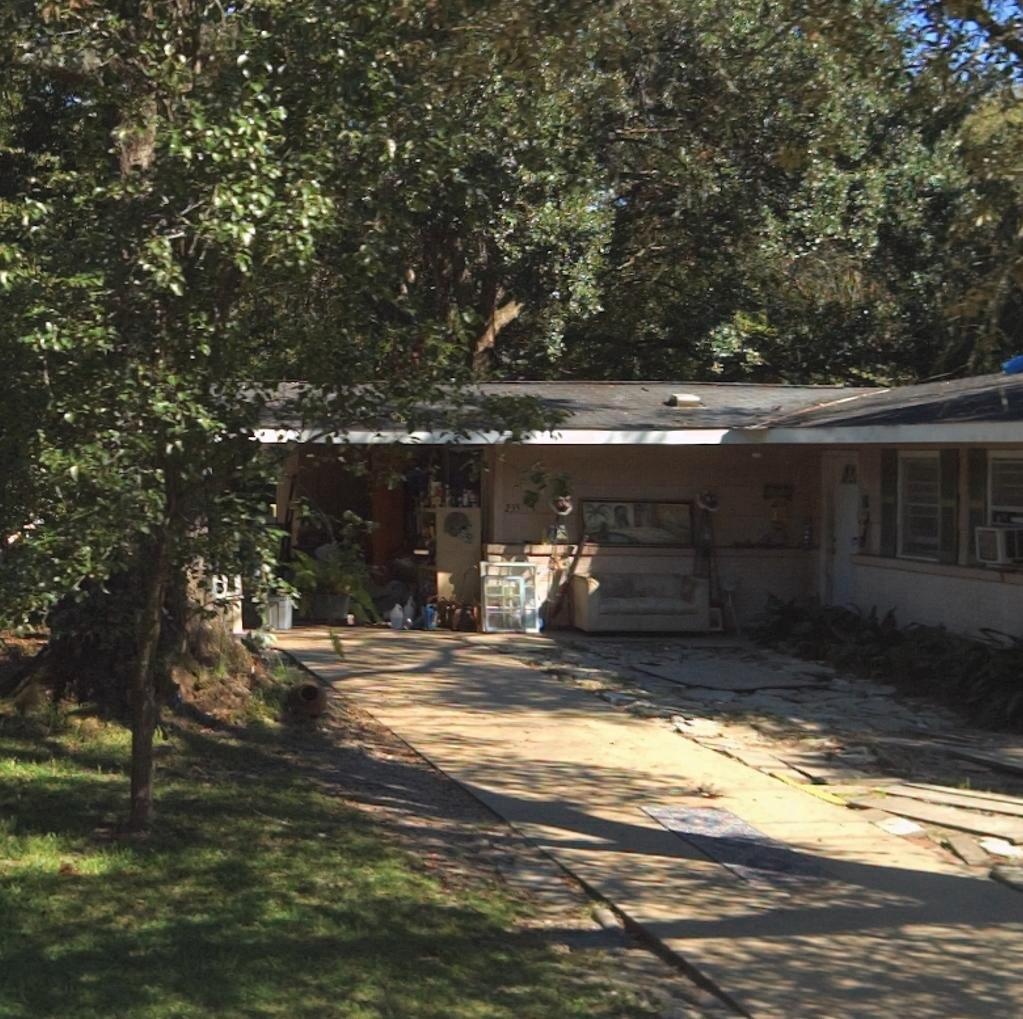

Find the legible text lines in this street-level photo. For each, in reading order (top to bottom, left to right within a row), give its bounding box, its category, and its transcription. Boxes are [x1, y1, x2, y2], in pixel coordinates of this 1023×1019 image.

[503, 503, 522, 513] StreetNumber: 235